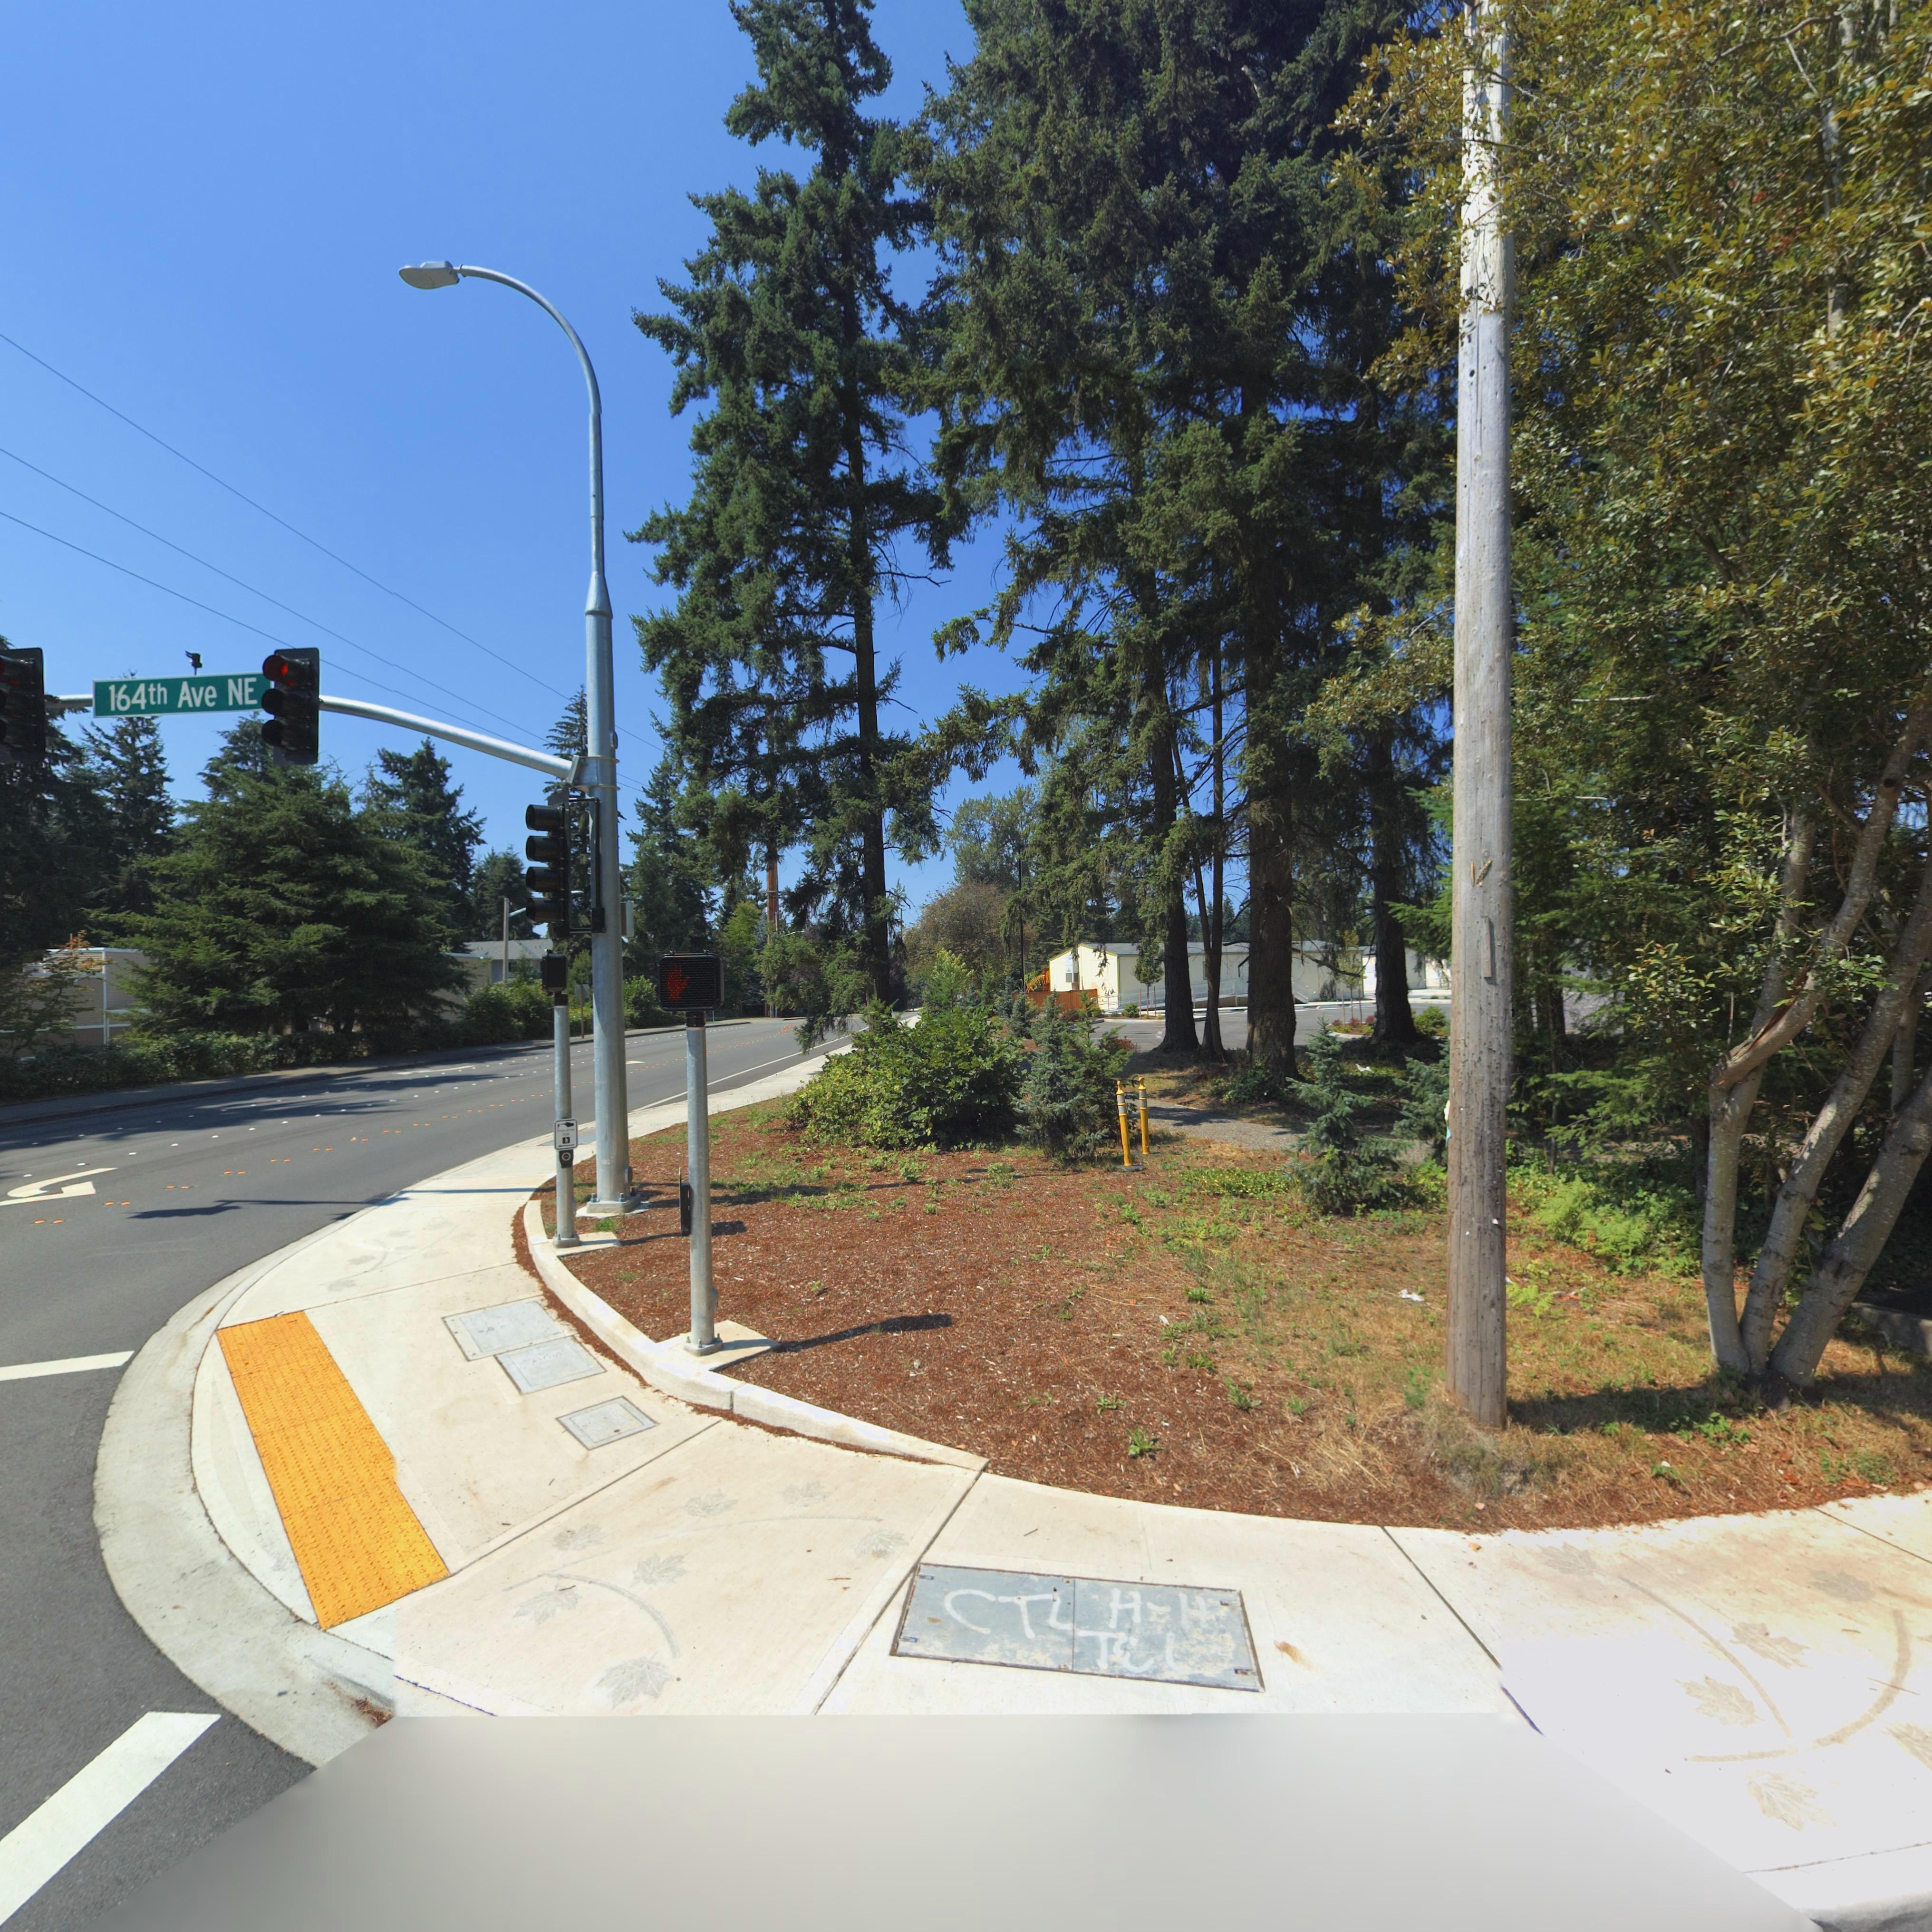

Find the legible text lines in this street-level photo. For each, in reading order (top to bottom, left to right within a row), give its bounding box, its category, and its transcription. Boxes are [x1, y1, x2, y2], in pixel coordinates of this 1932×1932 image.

[92, 669, 270, 716] StreetName: 164** Ave NE